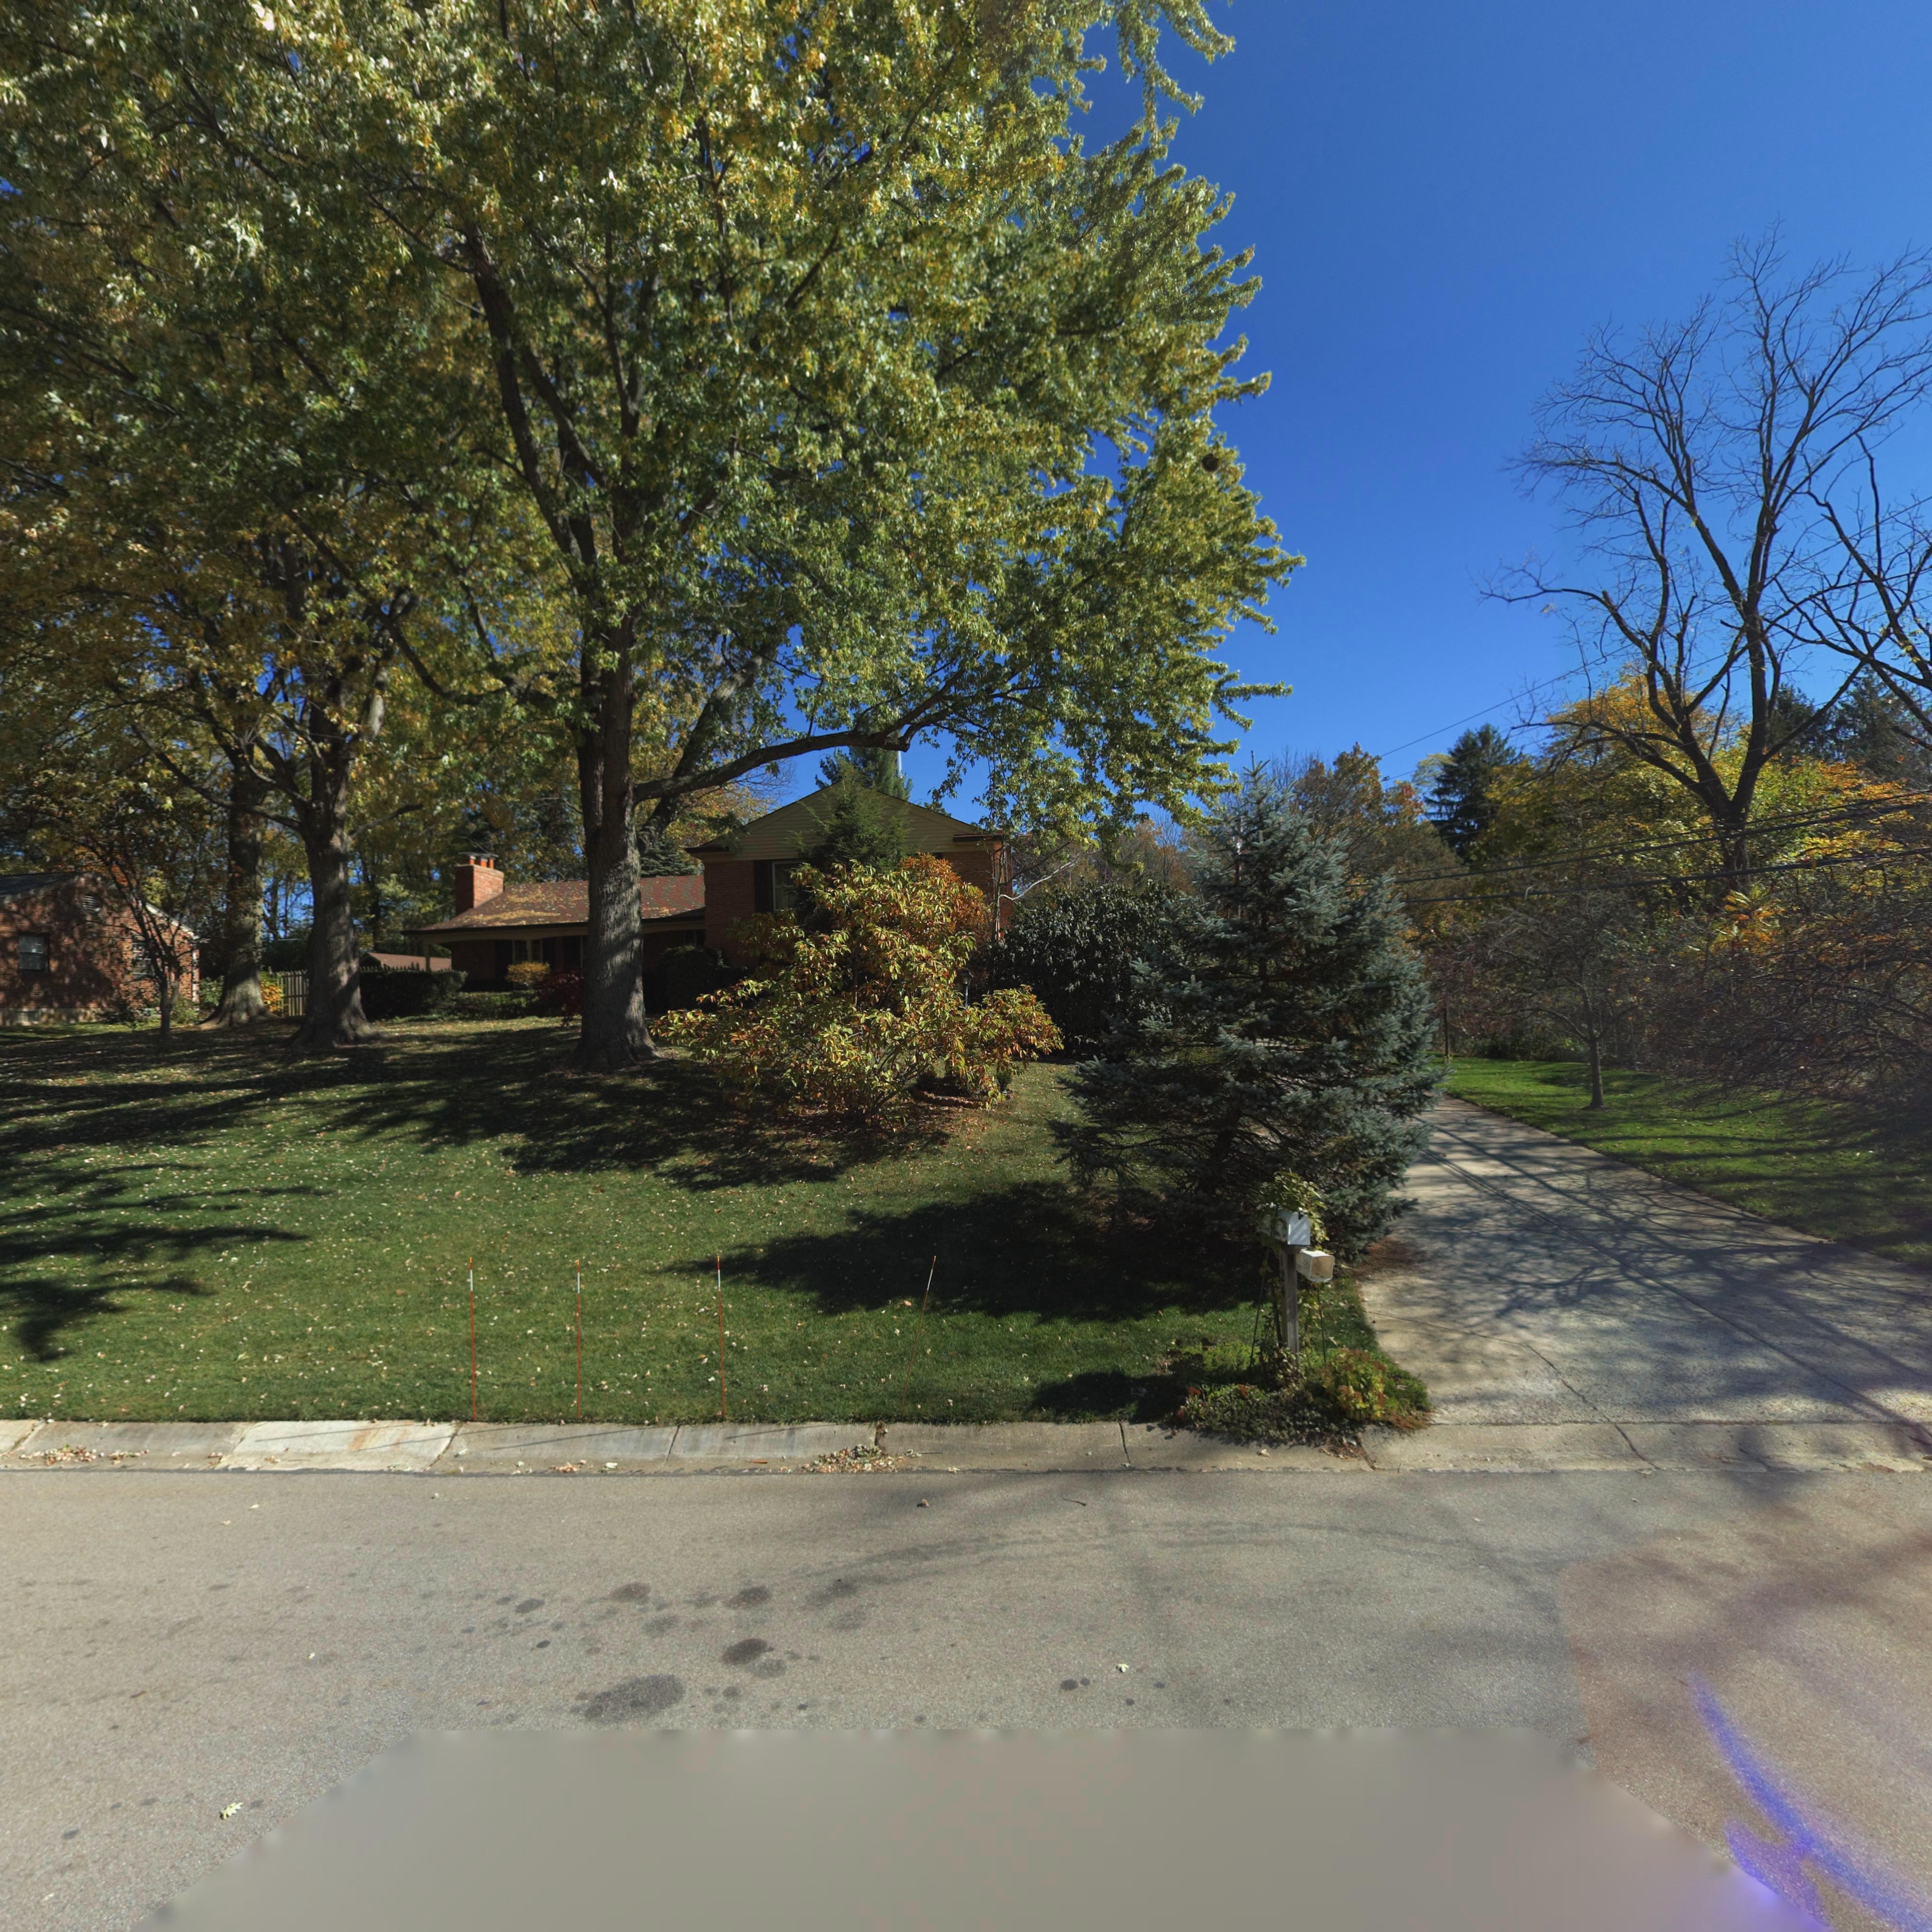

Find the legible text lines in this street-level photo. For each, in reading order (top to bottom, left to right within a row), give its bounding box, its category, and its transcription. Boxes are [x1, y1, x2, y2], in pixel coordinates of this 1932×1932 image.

[1279, 1253, 1286, 1298] StreetNumber: 124